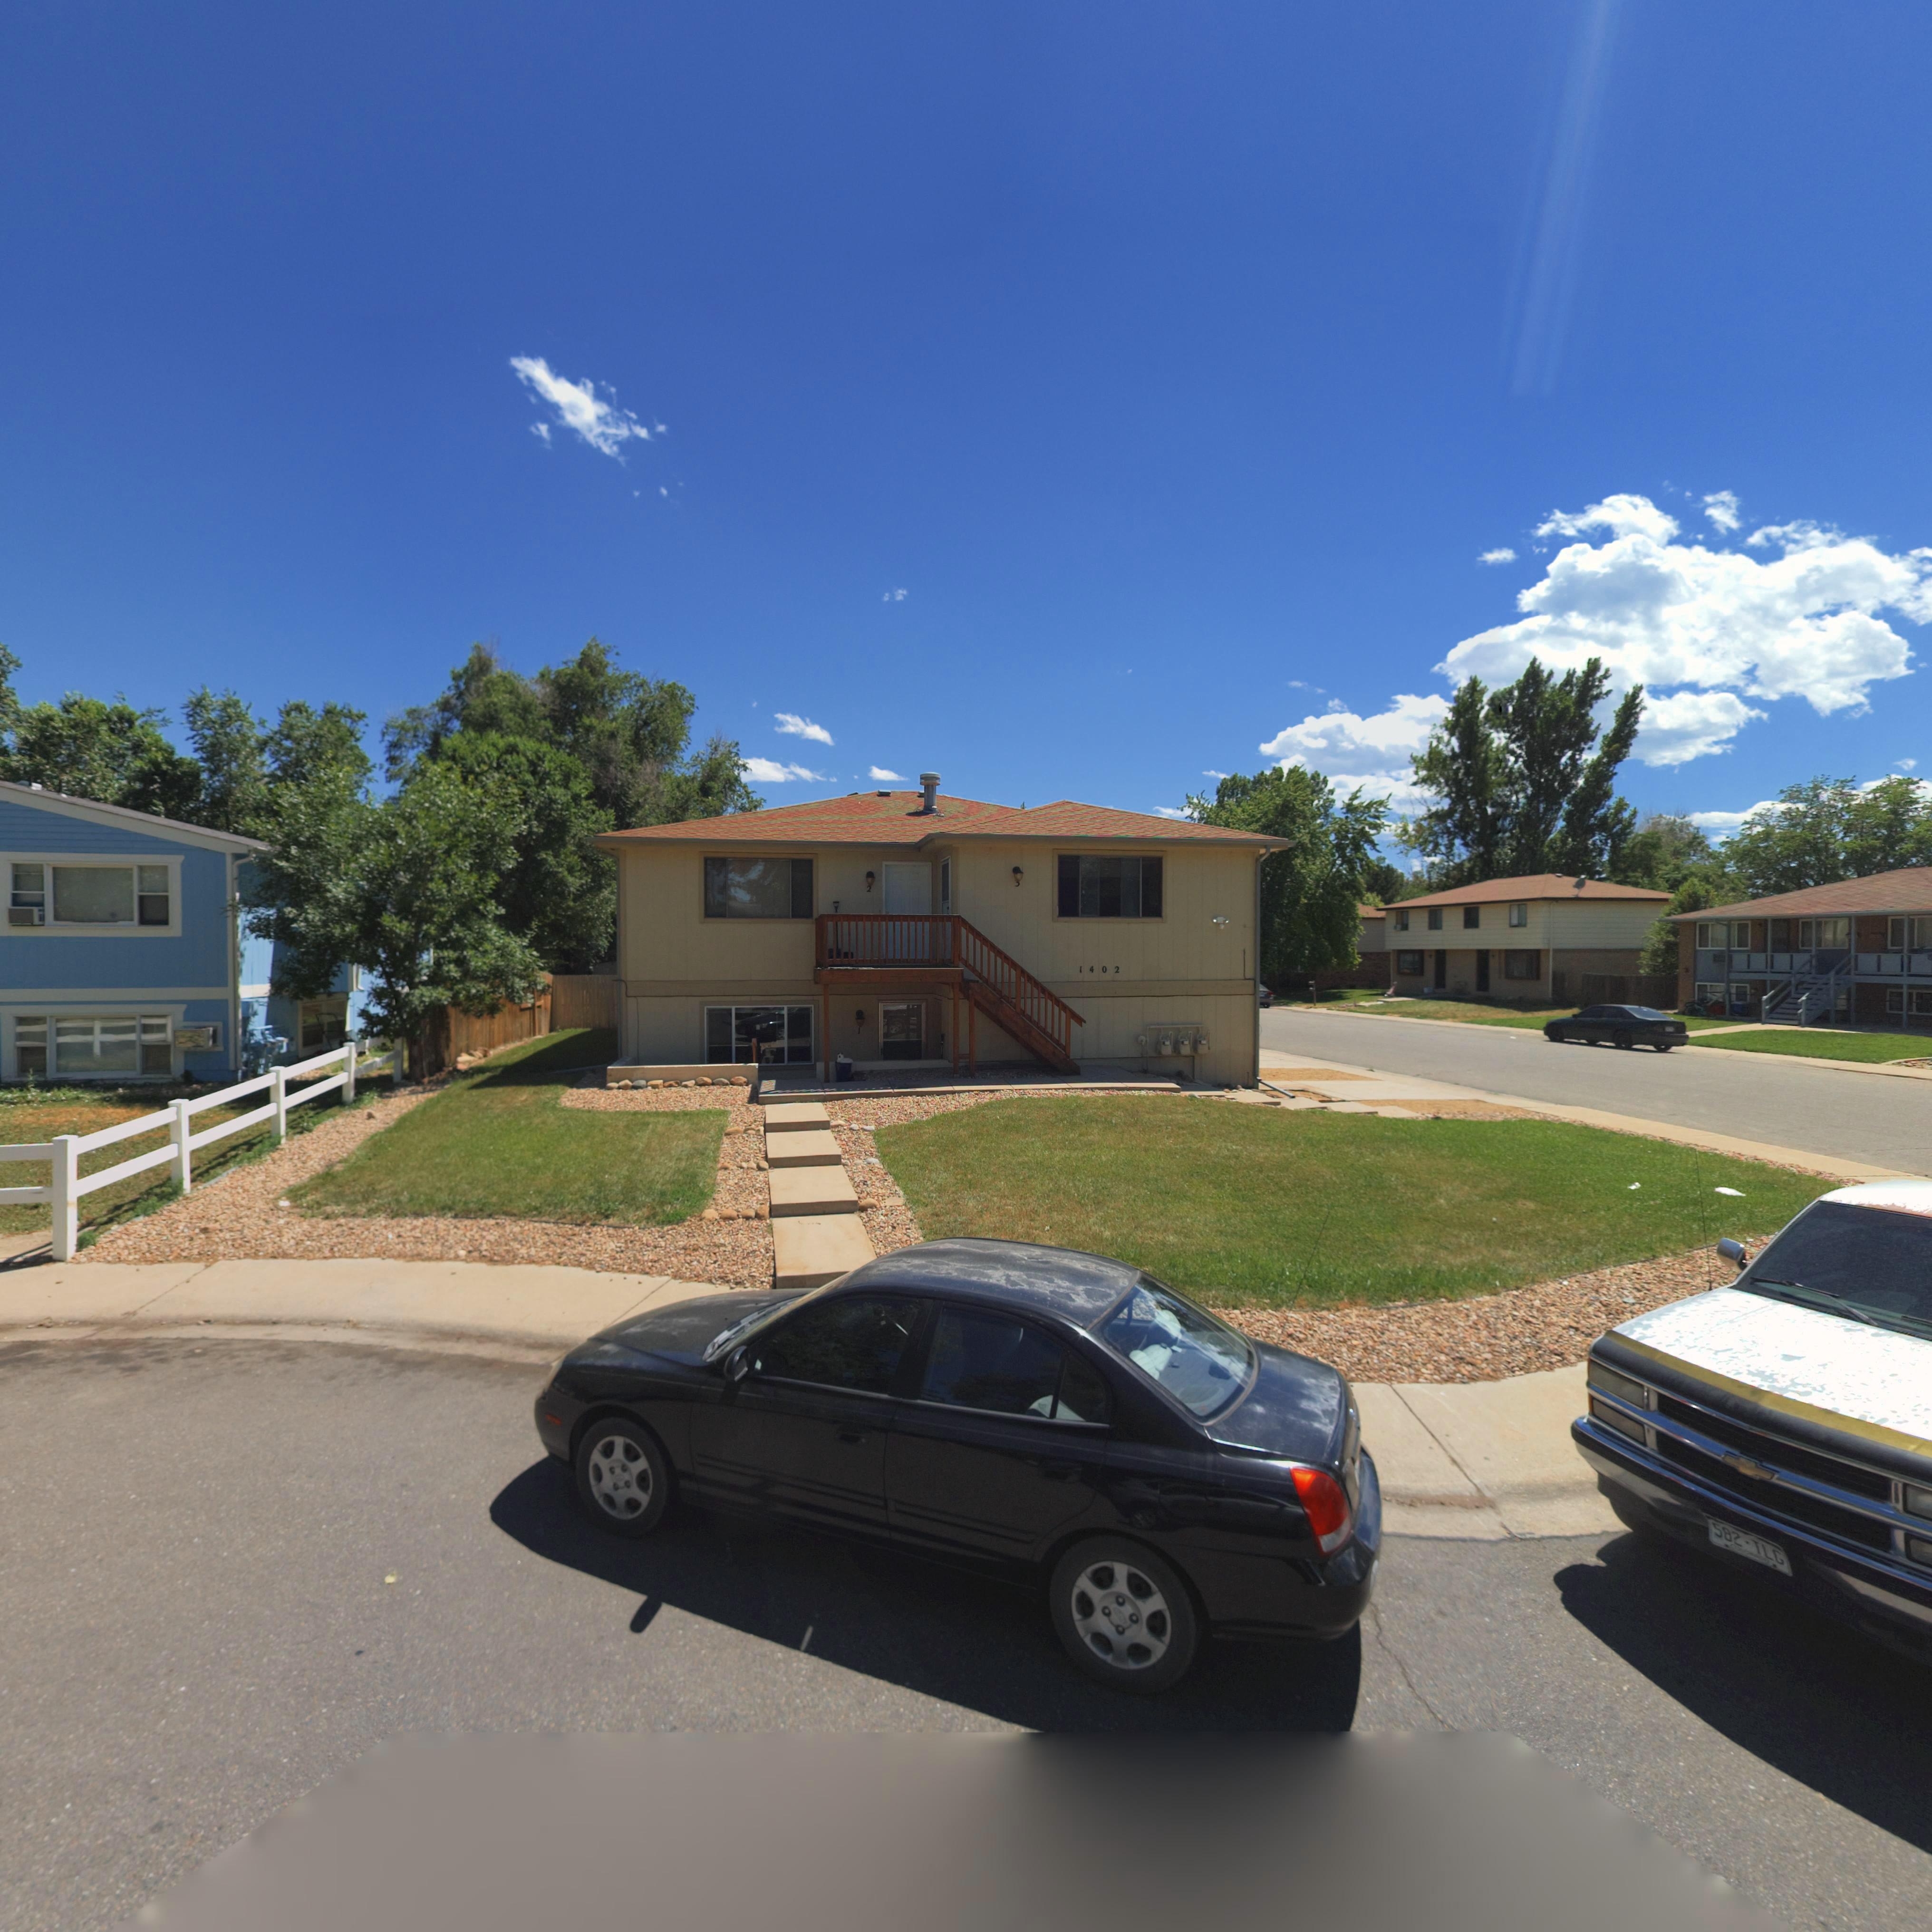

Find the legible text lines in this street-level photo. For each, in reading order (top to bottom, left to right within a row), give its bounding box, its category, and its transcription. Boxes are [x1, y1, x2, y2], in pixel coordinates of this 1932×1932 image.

[1079, 965, 1120, 973] StreetNumber: 1402